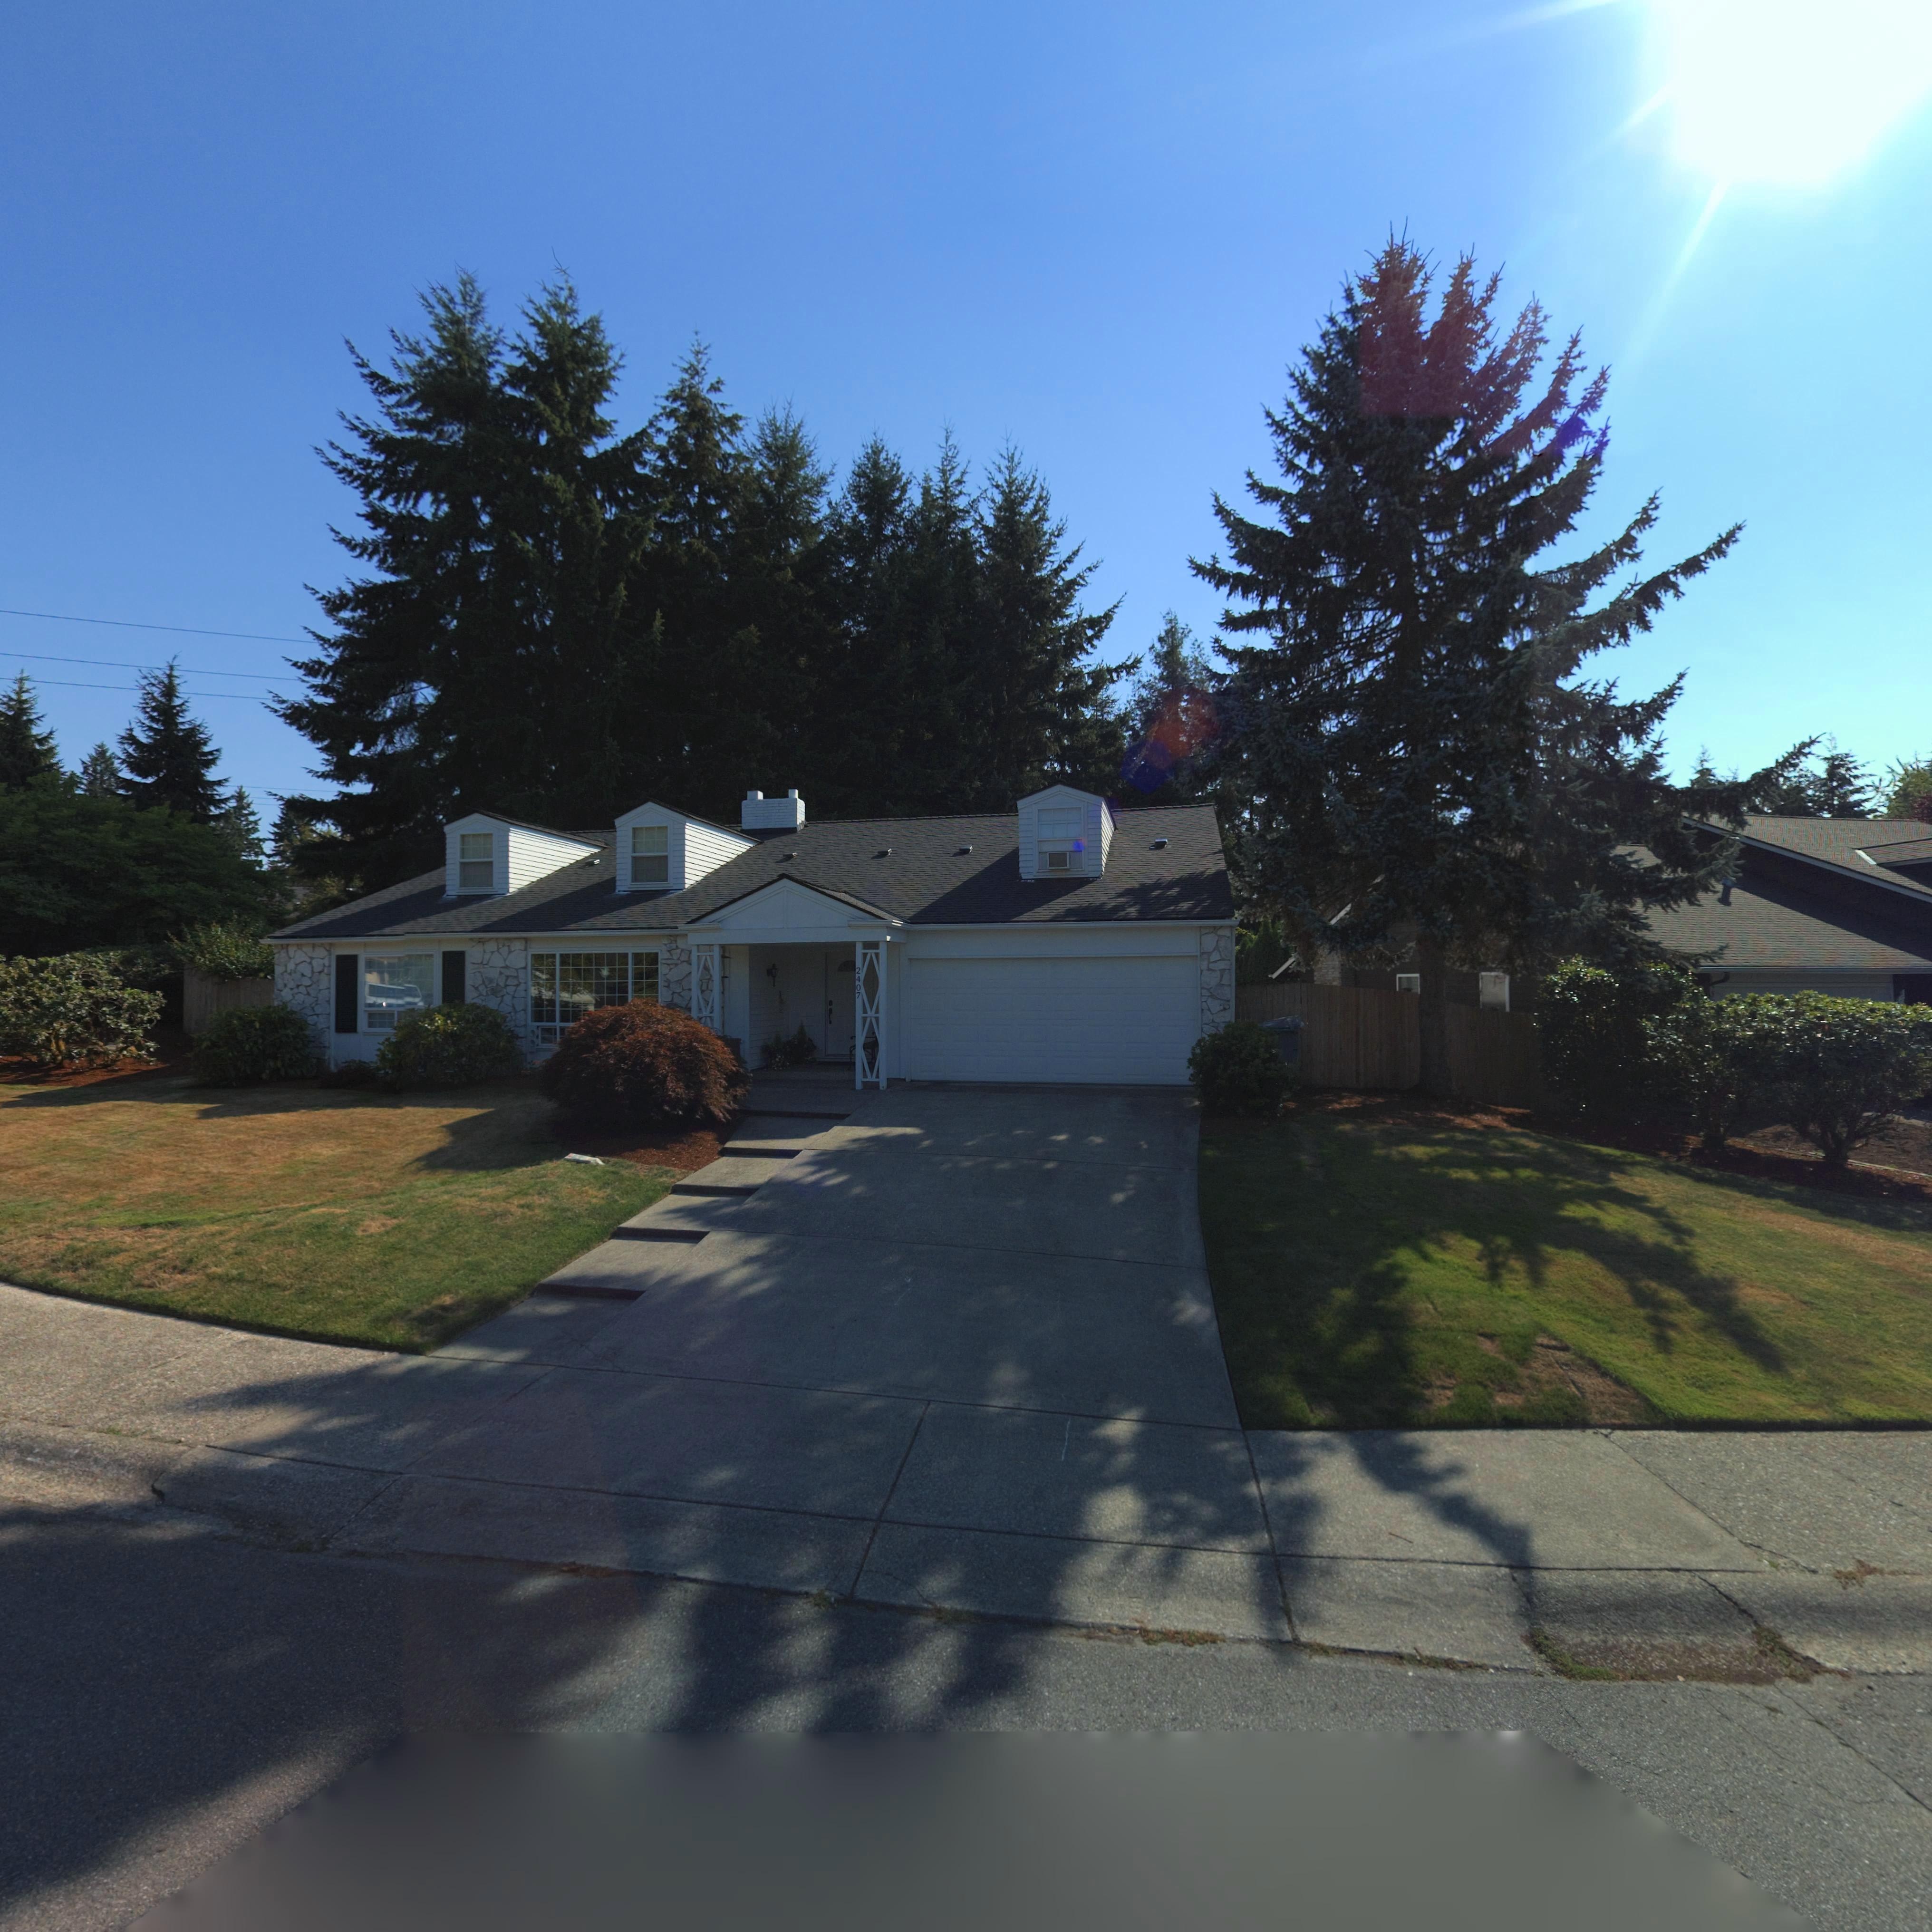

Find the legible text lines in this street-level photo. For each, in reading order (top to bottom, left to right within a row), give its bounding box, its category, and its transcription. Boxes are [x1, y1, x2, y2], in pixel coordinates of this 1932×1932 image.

[856, 966, 861, 1000] StreetNumber: 2407